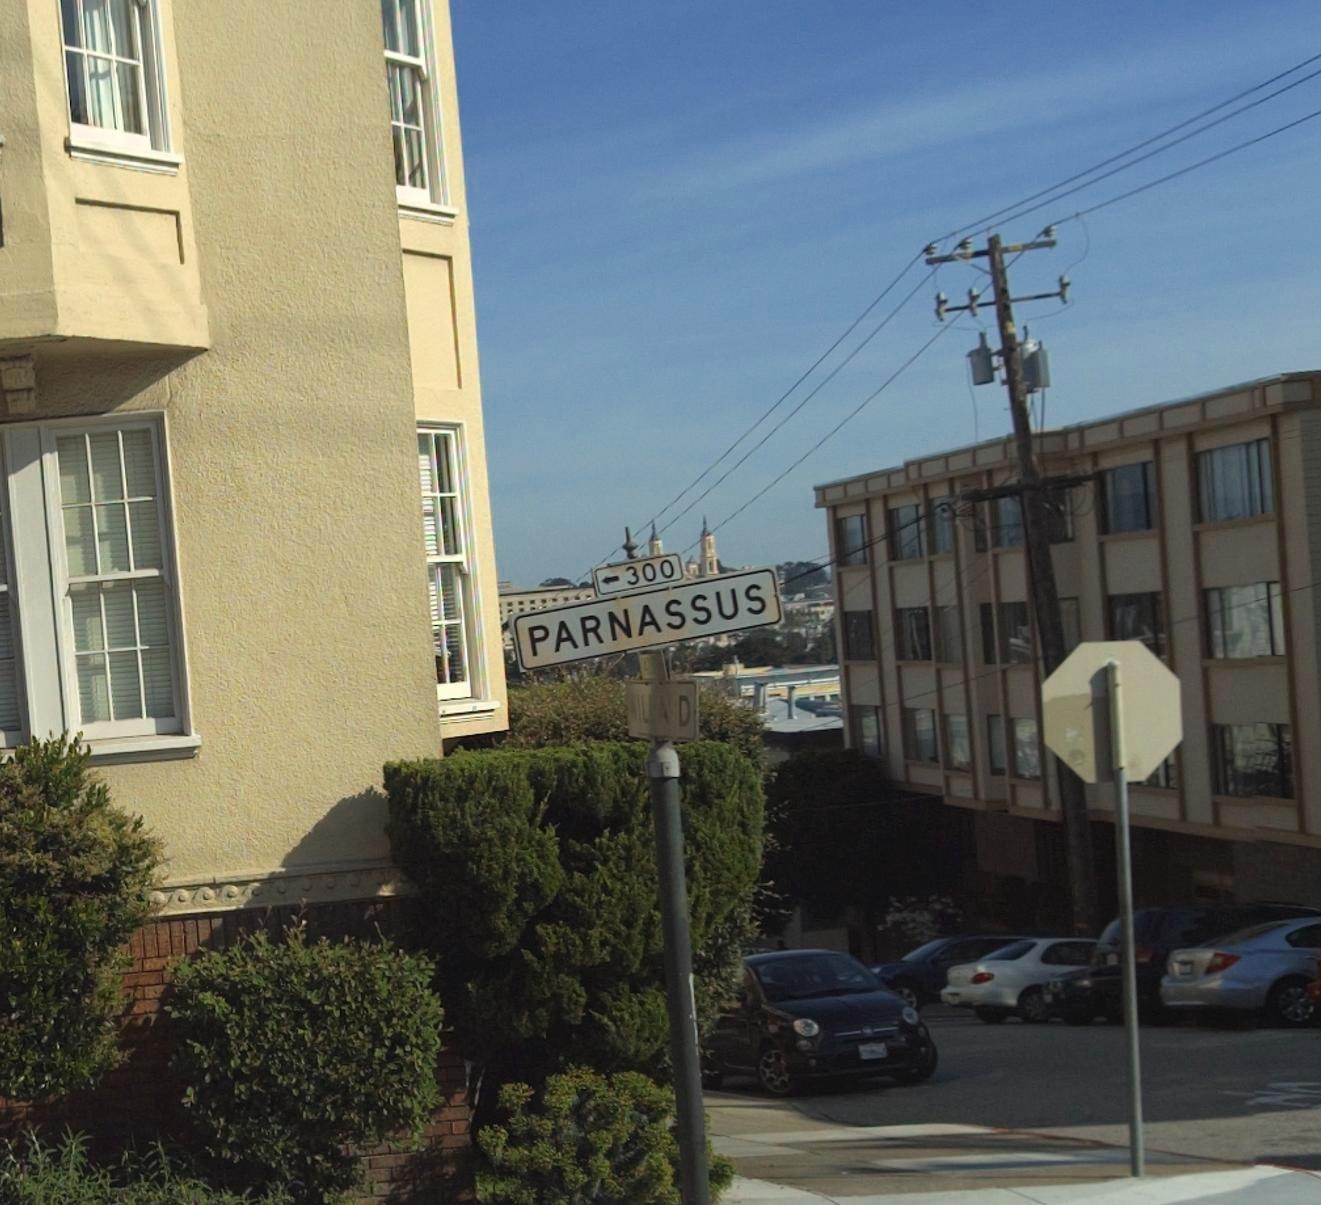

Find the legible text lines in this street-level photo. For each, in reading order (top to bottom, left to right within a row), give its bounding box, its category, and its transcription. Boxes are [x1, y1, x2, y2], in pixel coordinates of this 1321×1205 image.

[596, 557, 679, 594] StreetNumberRange: <-300
[523, 581, 771, 661] StreetName: PARNASSUS
[676, 694, 694, 728] None: D